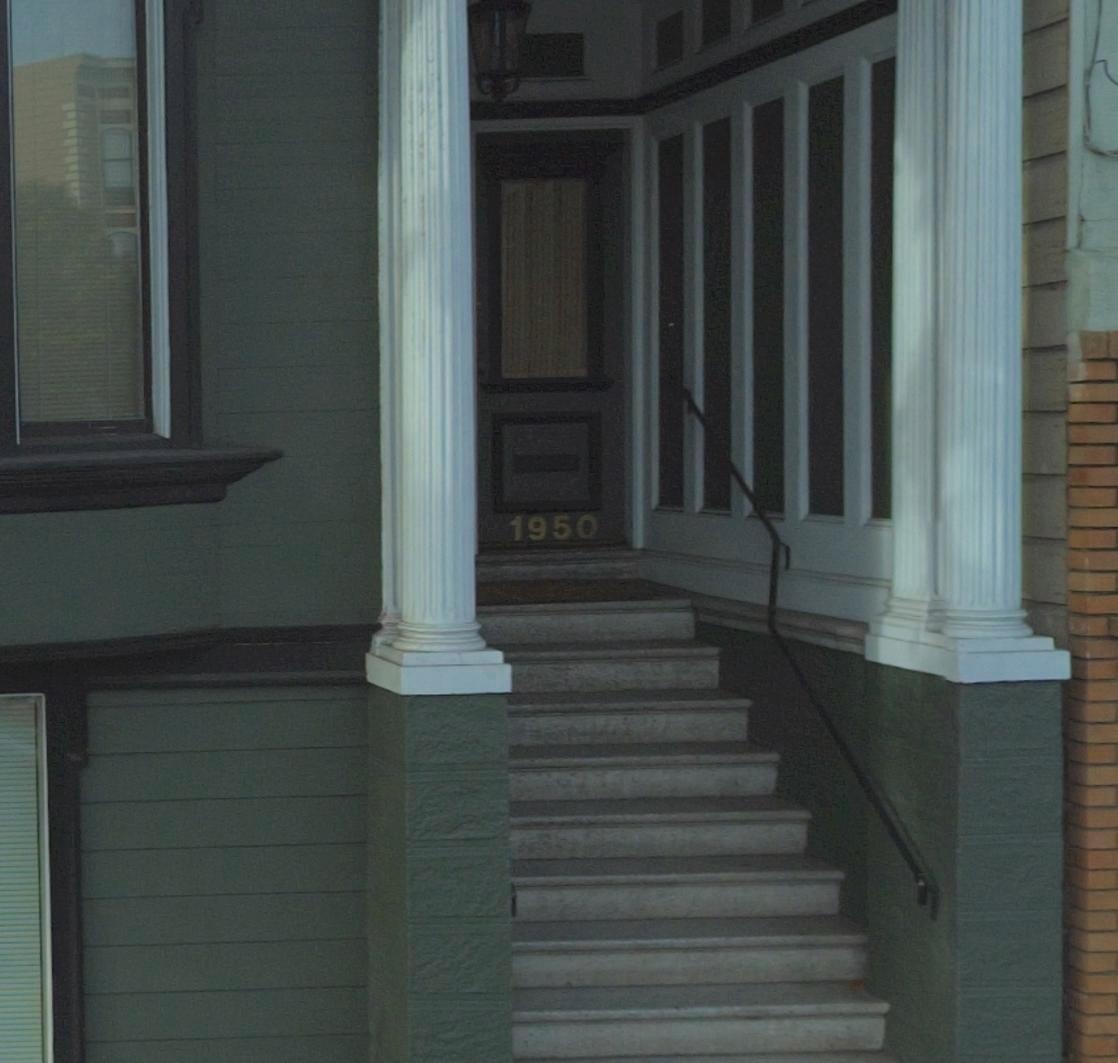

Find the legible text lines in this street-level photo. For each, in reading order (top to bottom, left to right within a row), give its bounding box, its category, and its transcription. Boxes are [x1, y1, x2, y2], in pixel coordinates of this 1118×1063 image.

[507, 511, 600, 544] StreetNumber: 1950